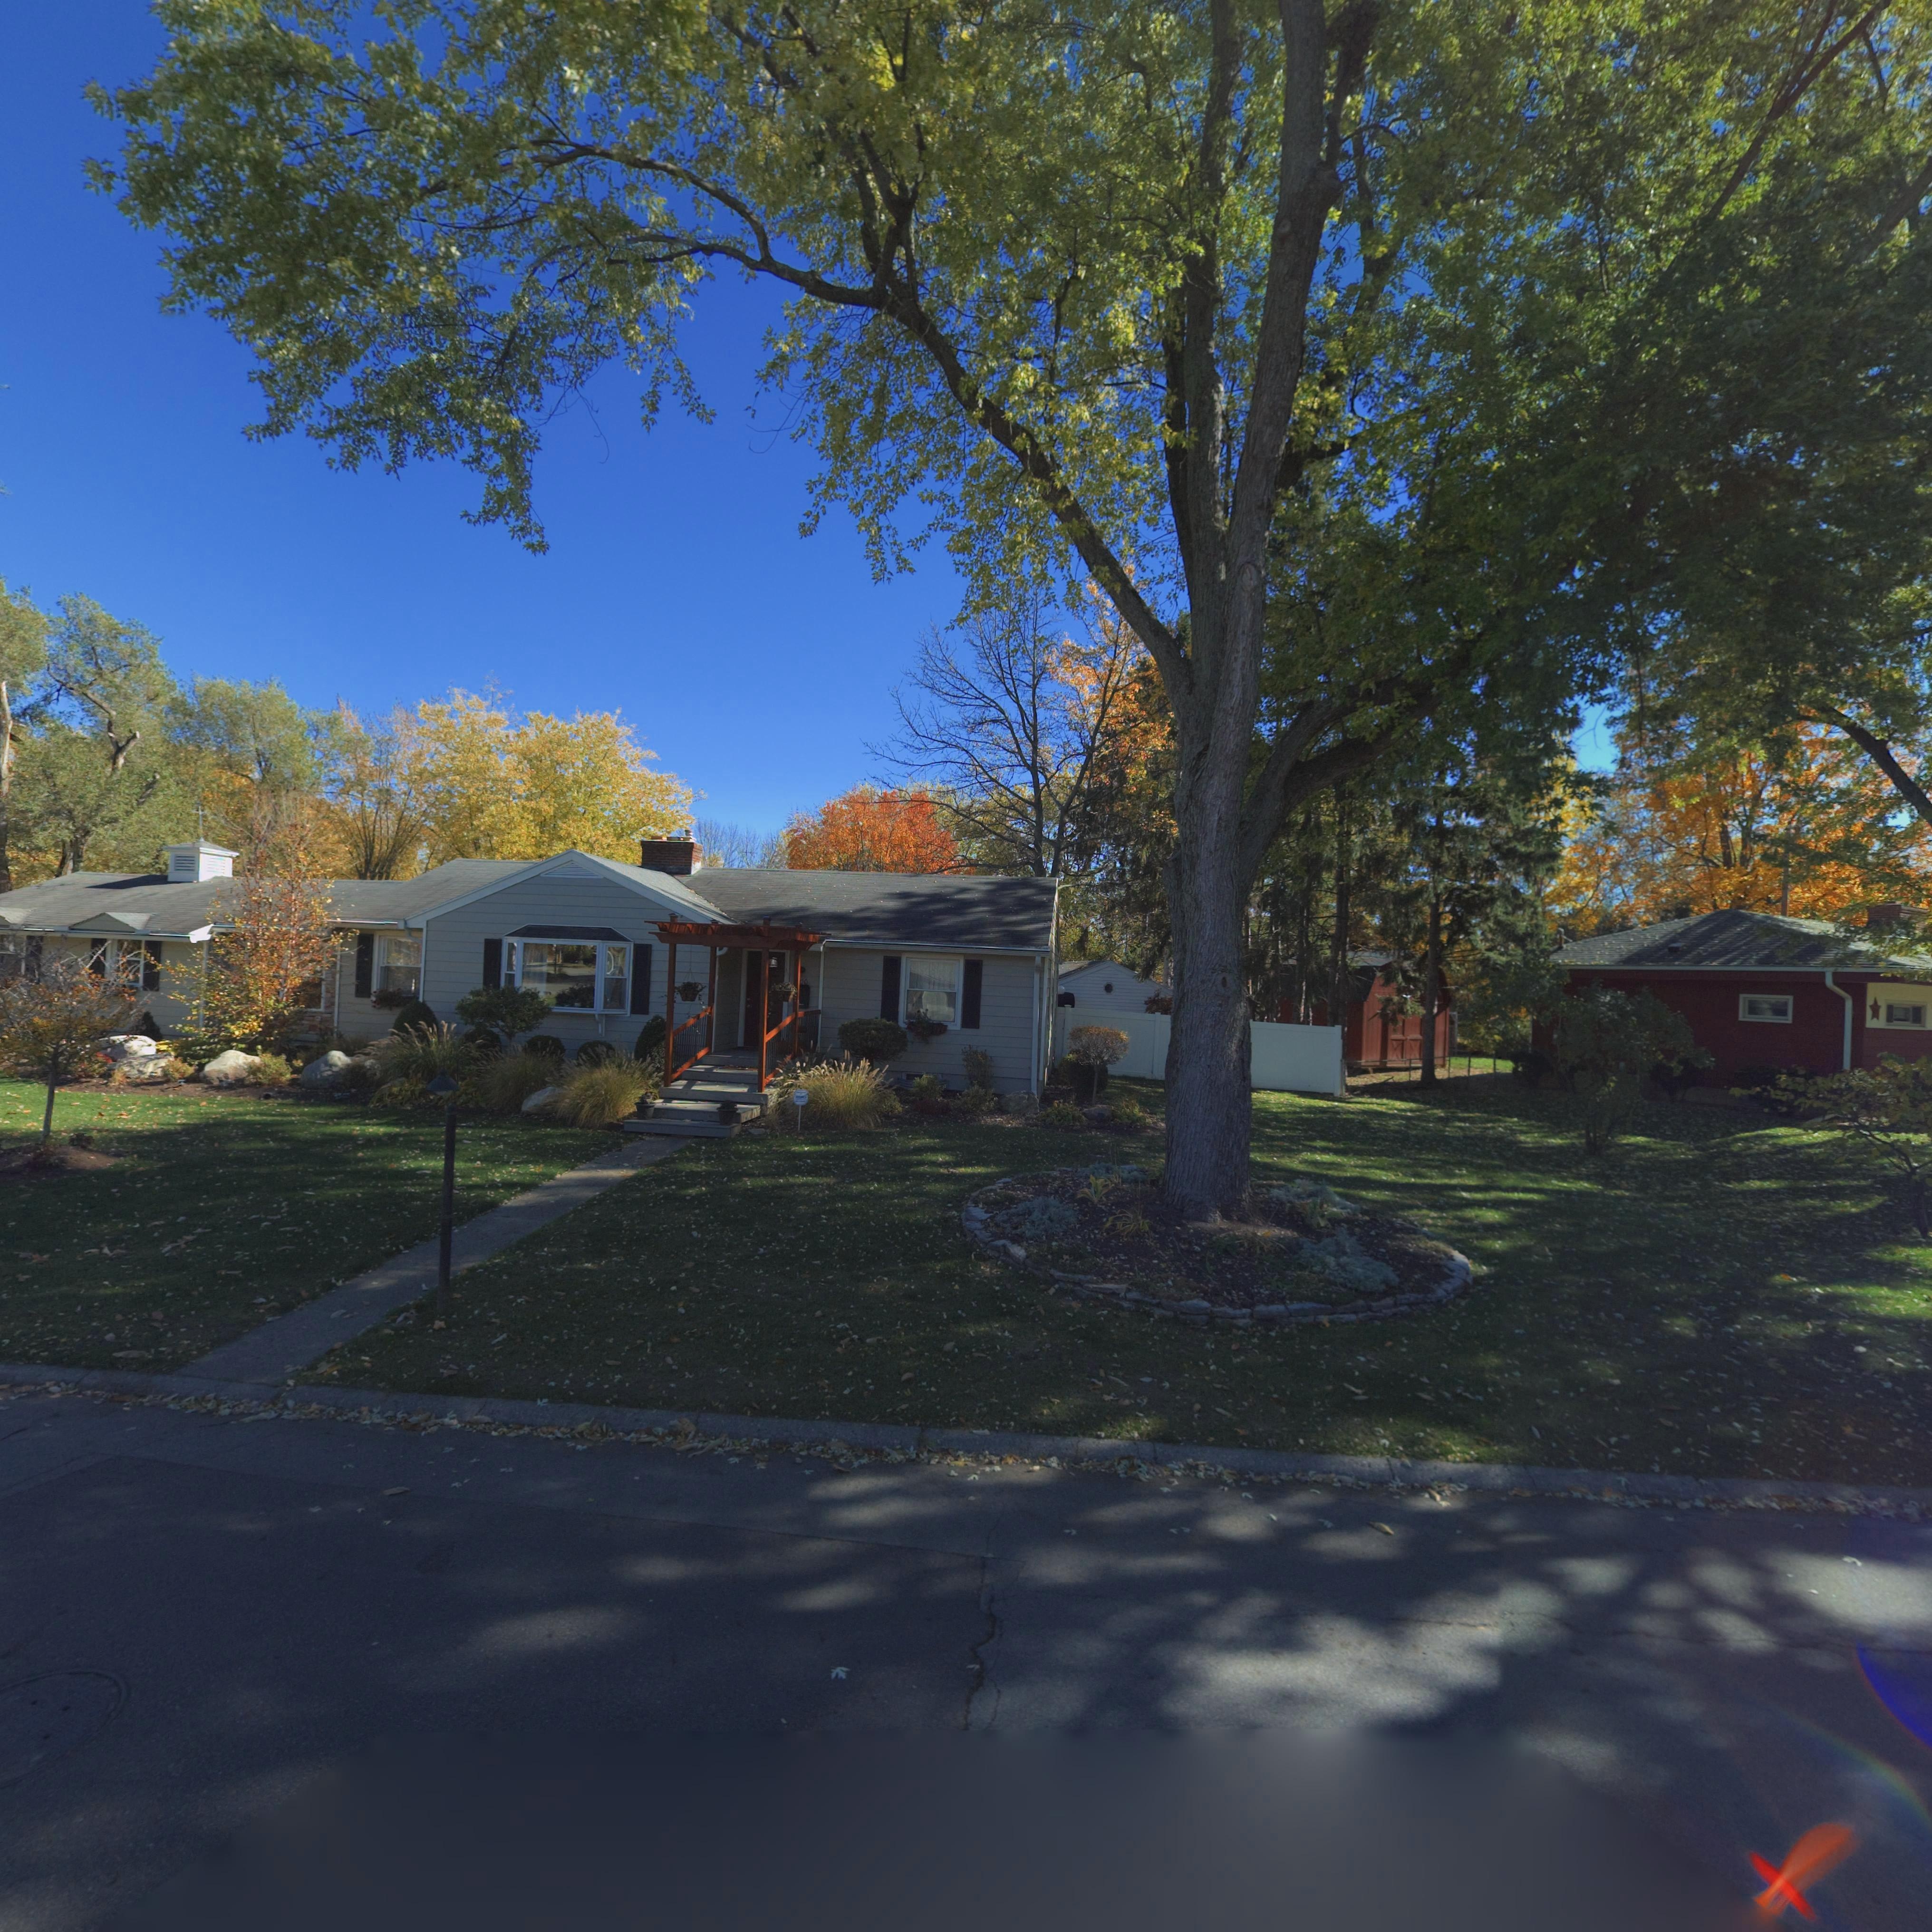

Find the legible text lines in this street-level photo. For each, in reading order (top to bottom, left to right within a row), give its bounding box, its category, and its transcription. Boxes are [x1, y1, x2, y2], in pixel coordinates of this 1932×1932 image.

[800, 979, 808, 985] StreetNumber: 00